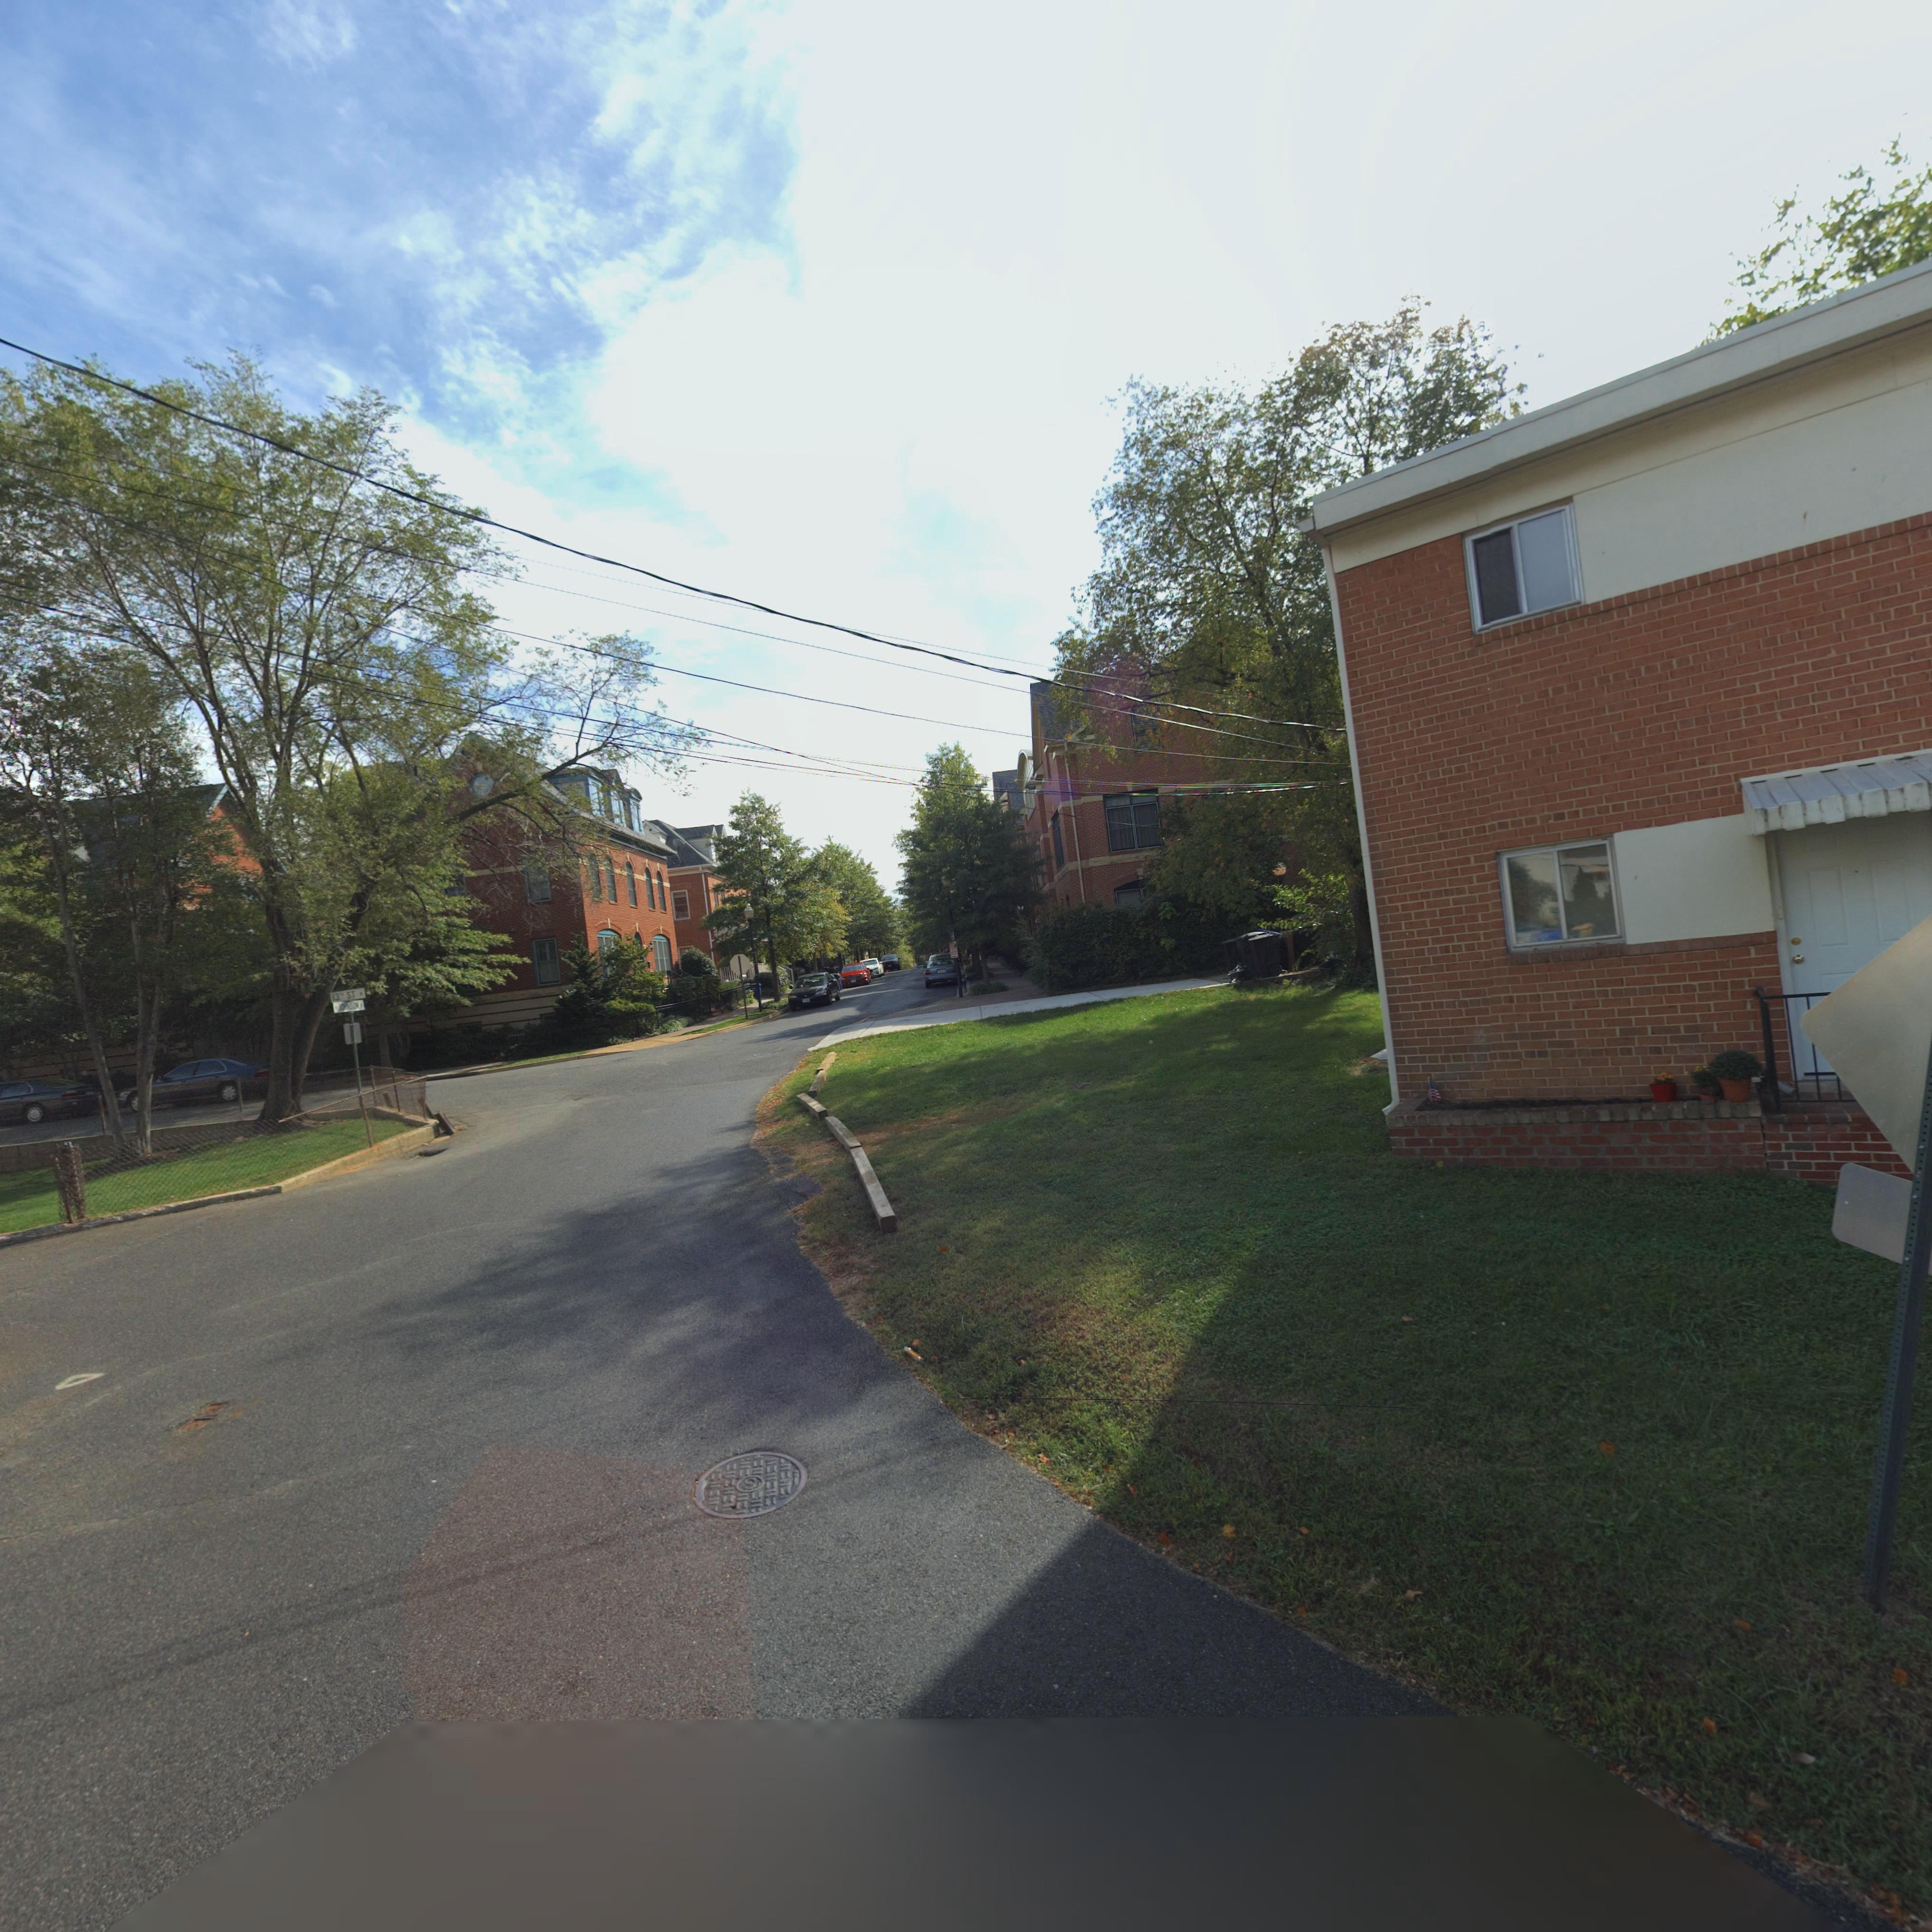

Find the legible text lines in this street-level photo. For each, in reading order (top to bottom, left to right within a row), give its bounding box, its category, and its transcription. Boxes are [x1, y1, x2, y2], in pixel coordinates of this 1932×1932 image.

[330, 989, 357, 1002] StreetName: 13 ** ST